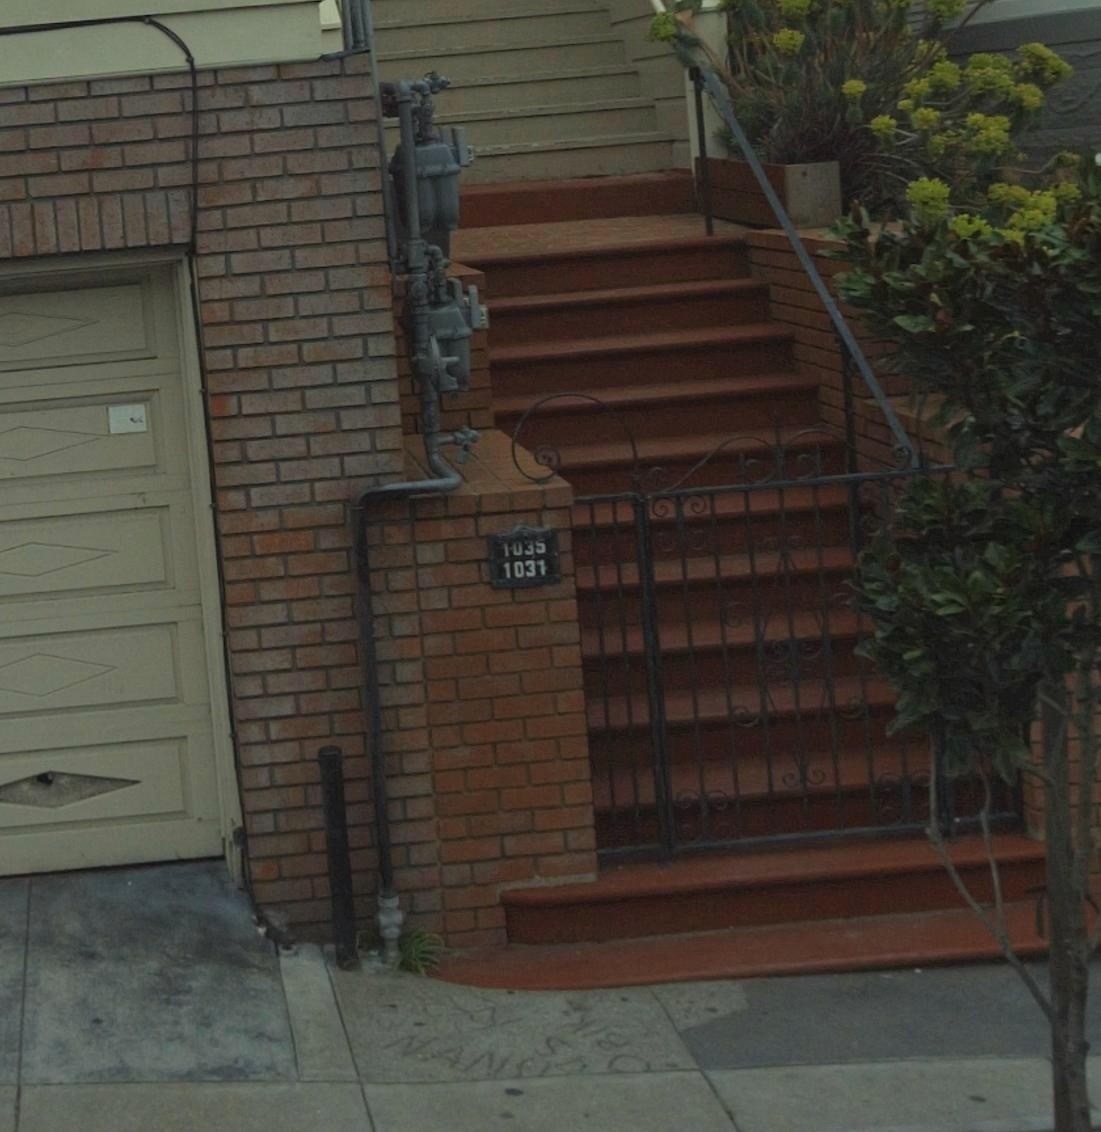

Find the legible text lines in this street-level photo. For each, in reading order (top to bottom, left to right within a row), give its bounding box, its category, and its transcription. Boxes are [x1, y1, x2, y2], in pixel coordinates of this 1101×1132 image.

[501, 538, 547, 558] StreetNumber: 1035
[502, 558, 547, 580] StreetNumber: 1031